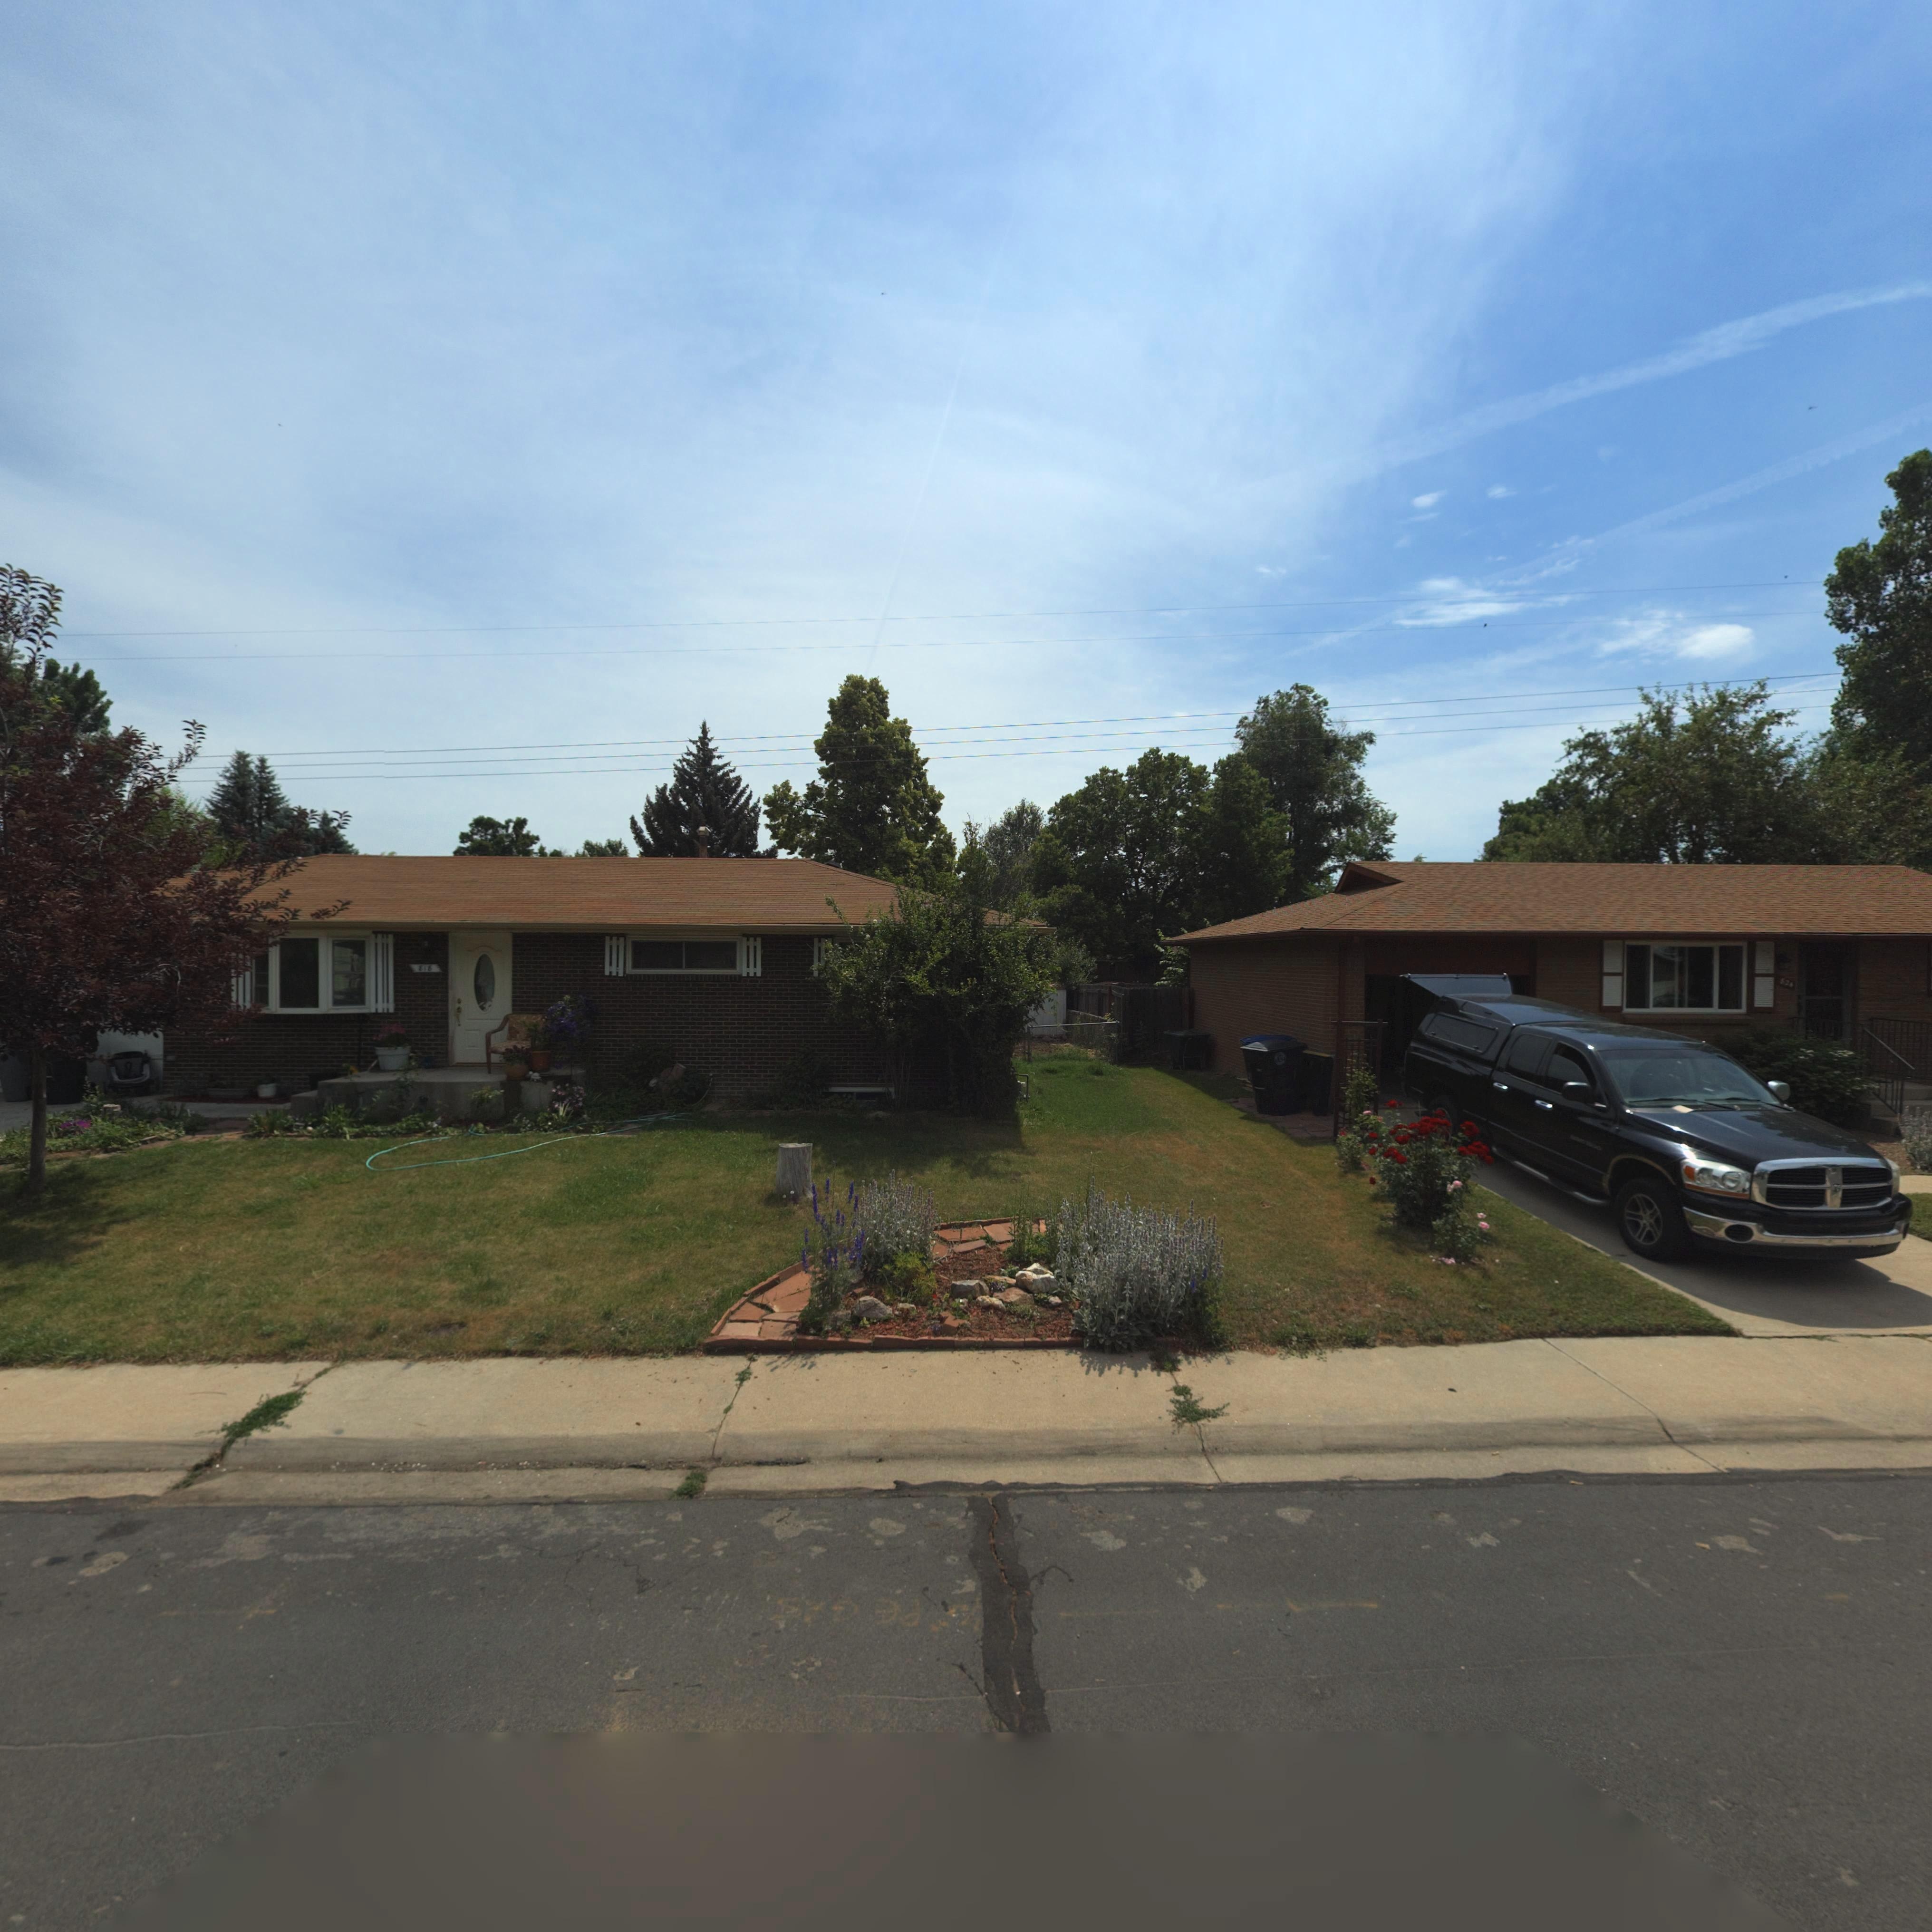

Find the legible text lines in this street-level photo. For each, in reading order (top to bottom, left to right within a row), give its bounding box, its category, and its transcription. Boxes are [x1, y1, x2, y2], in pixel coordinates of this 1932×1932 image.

[417, 964, 433, 971] StreetNumber: 818
[1779, 977, 1793, 987] StreetNumber: 824